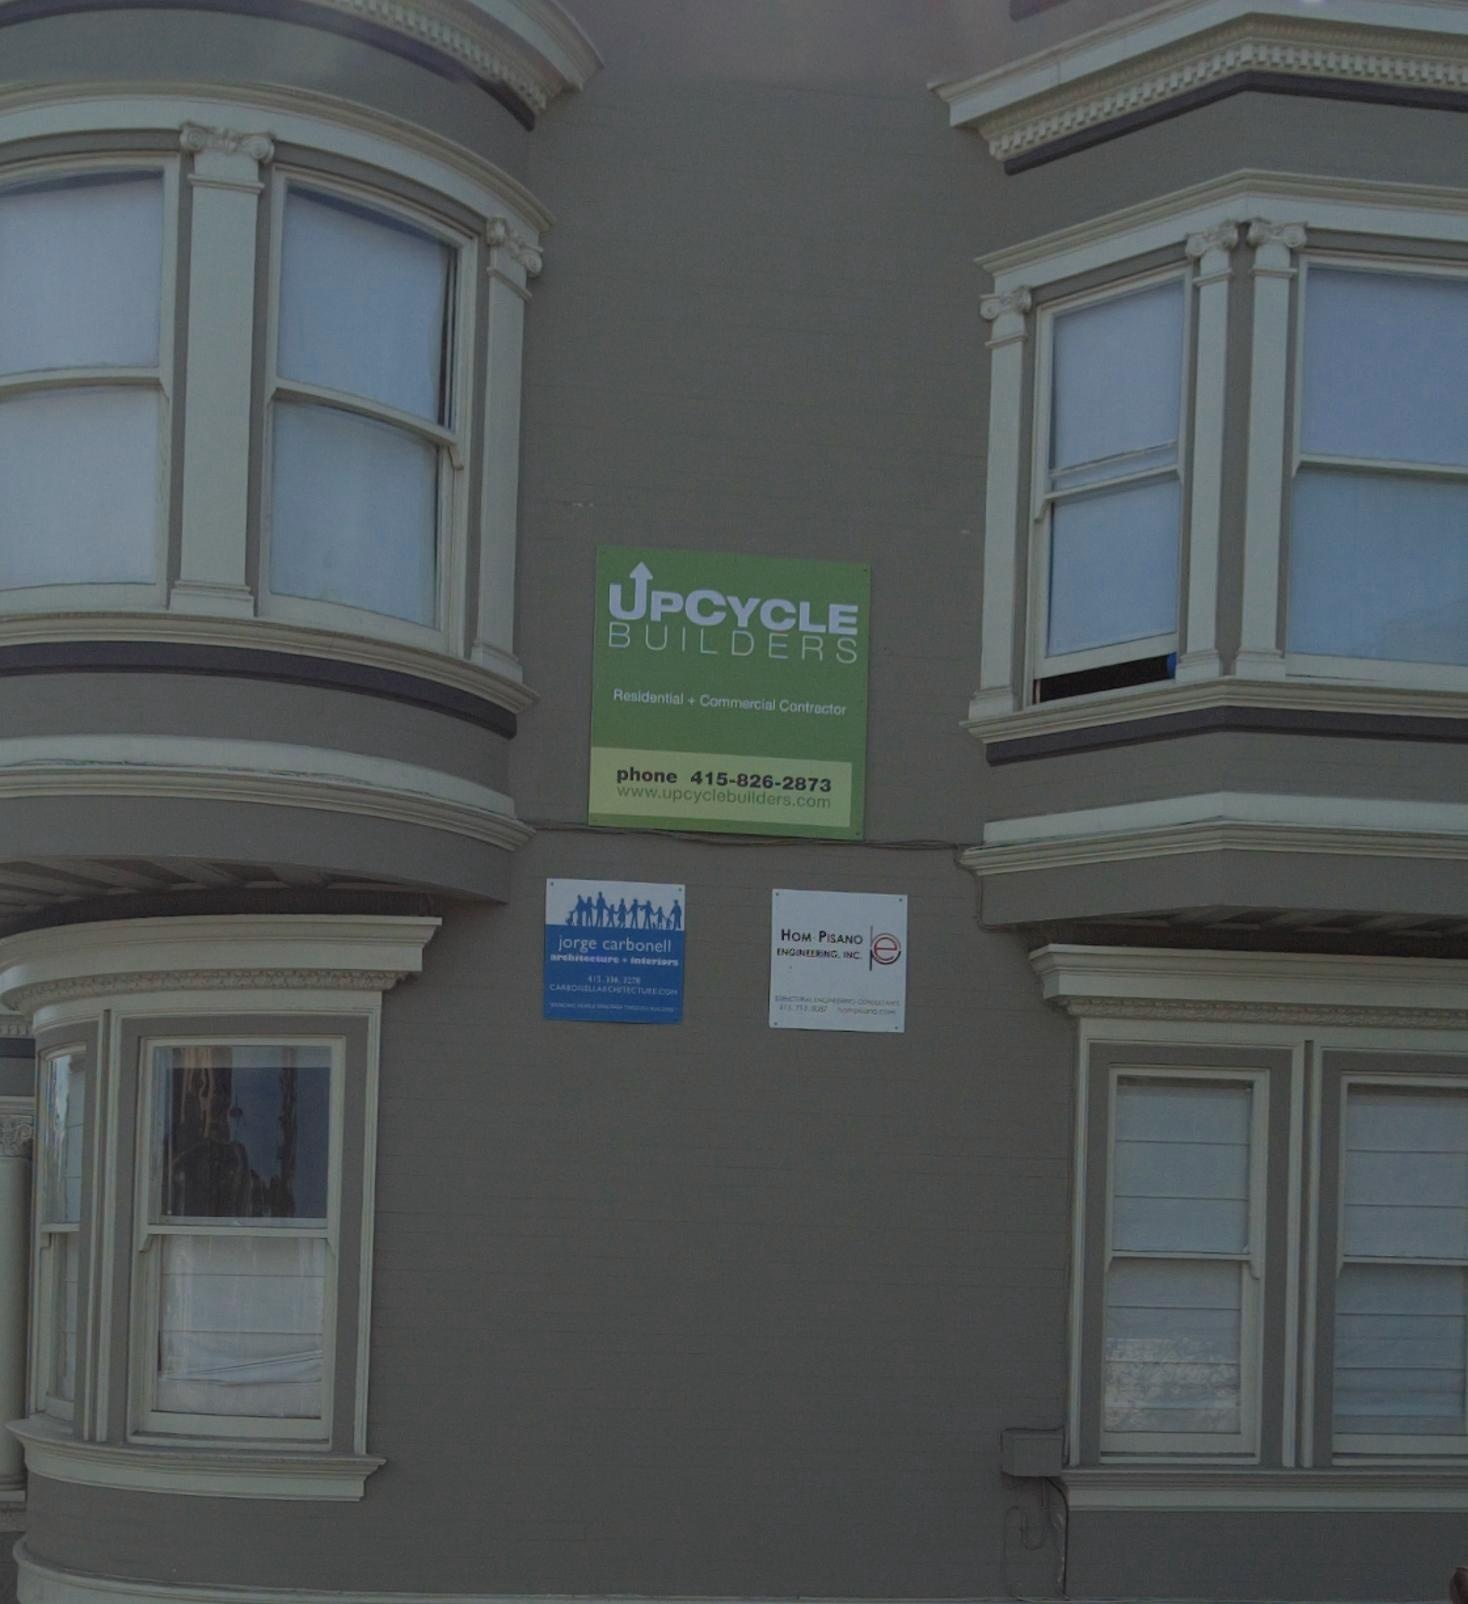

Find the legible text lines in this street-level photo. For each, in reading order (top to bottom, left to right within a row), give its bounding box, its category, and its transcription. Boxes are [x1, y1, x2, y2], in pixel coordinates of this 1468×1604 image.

[608, 560, 861, 638] None: UPCYCLE
[608, 620, 859, 666] None: BUILDERS
[612, 686, 849, 718] None: Residential + Commercial Contractor
[616, 765, 833, 795] None: phone 415-826-2873
[615, 784, 833, 810] None: www.upcyclebuilders.com
[549, 952, 679, 967] None: architecture + interiors
[557, 933, 672, 955] None: jorge carbonell
[776, 947, 863, 961] None: ENGINEERING, INC.
[780, 926, 863, 946] None: HOM-PISANO
[872, 936, 899, 962] None: e
[548, 982, 678, 997] None: CARCONELLARCHITECTURE.COM
[585, 974, 642, 986] None: 415.***.727*